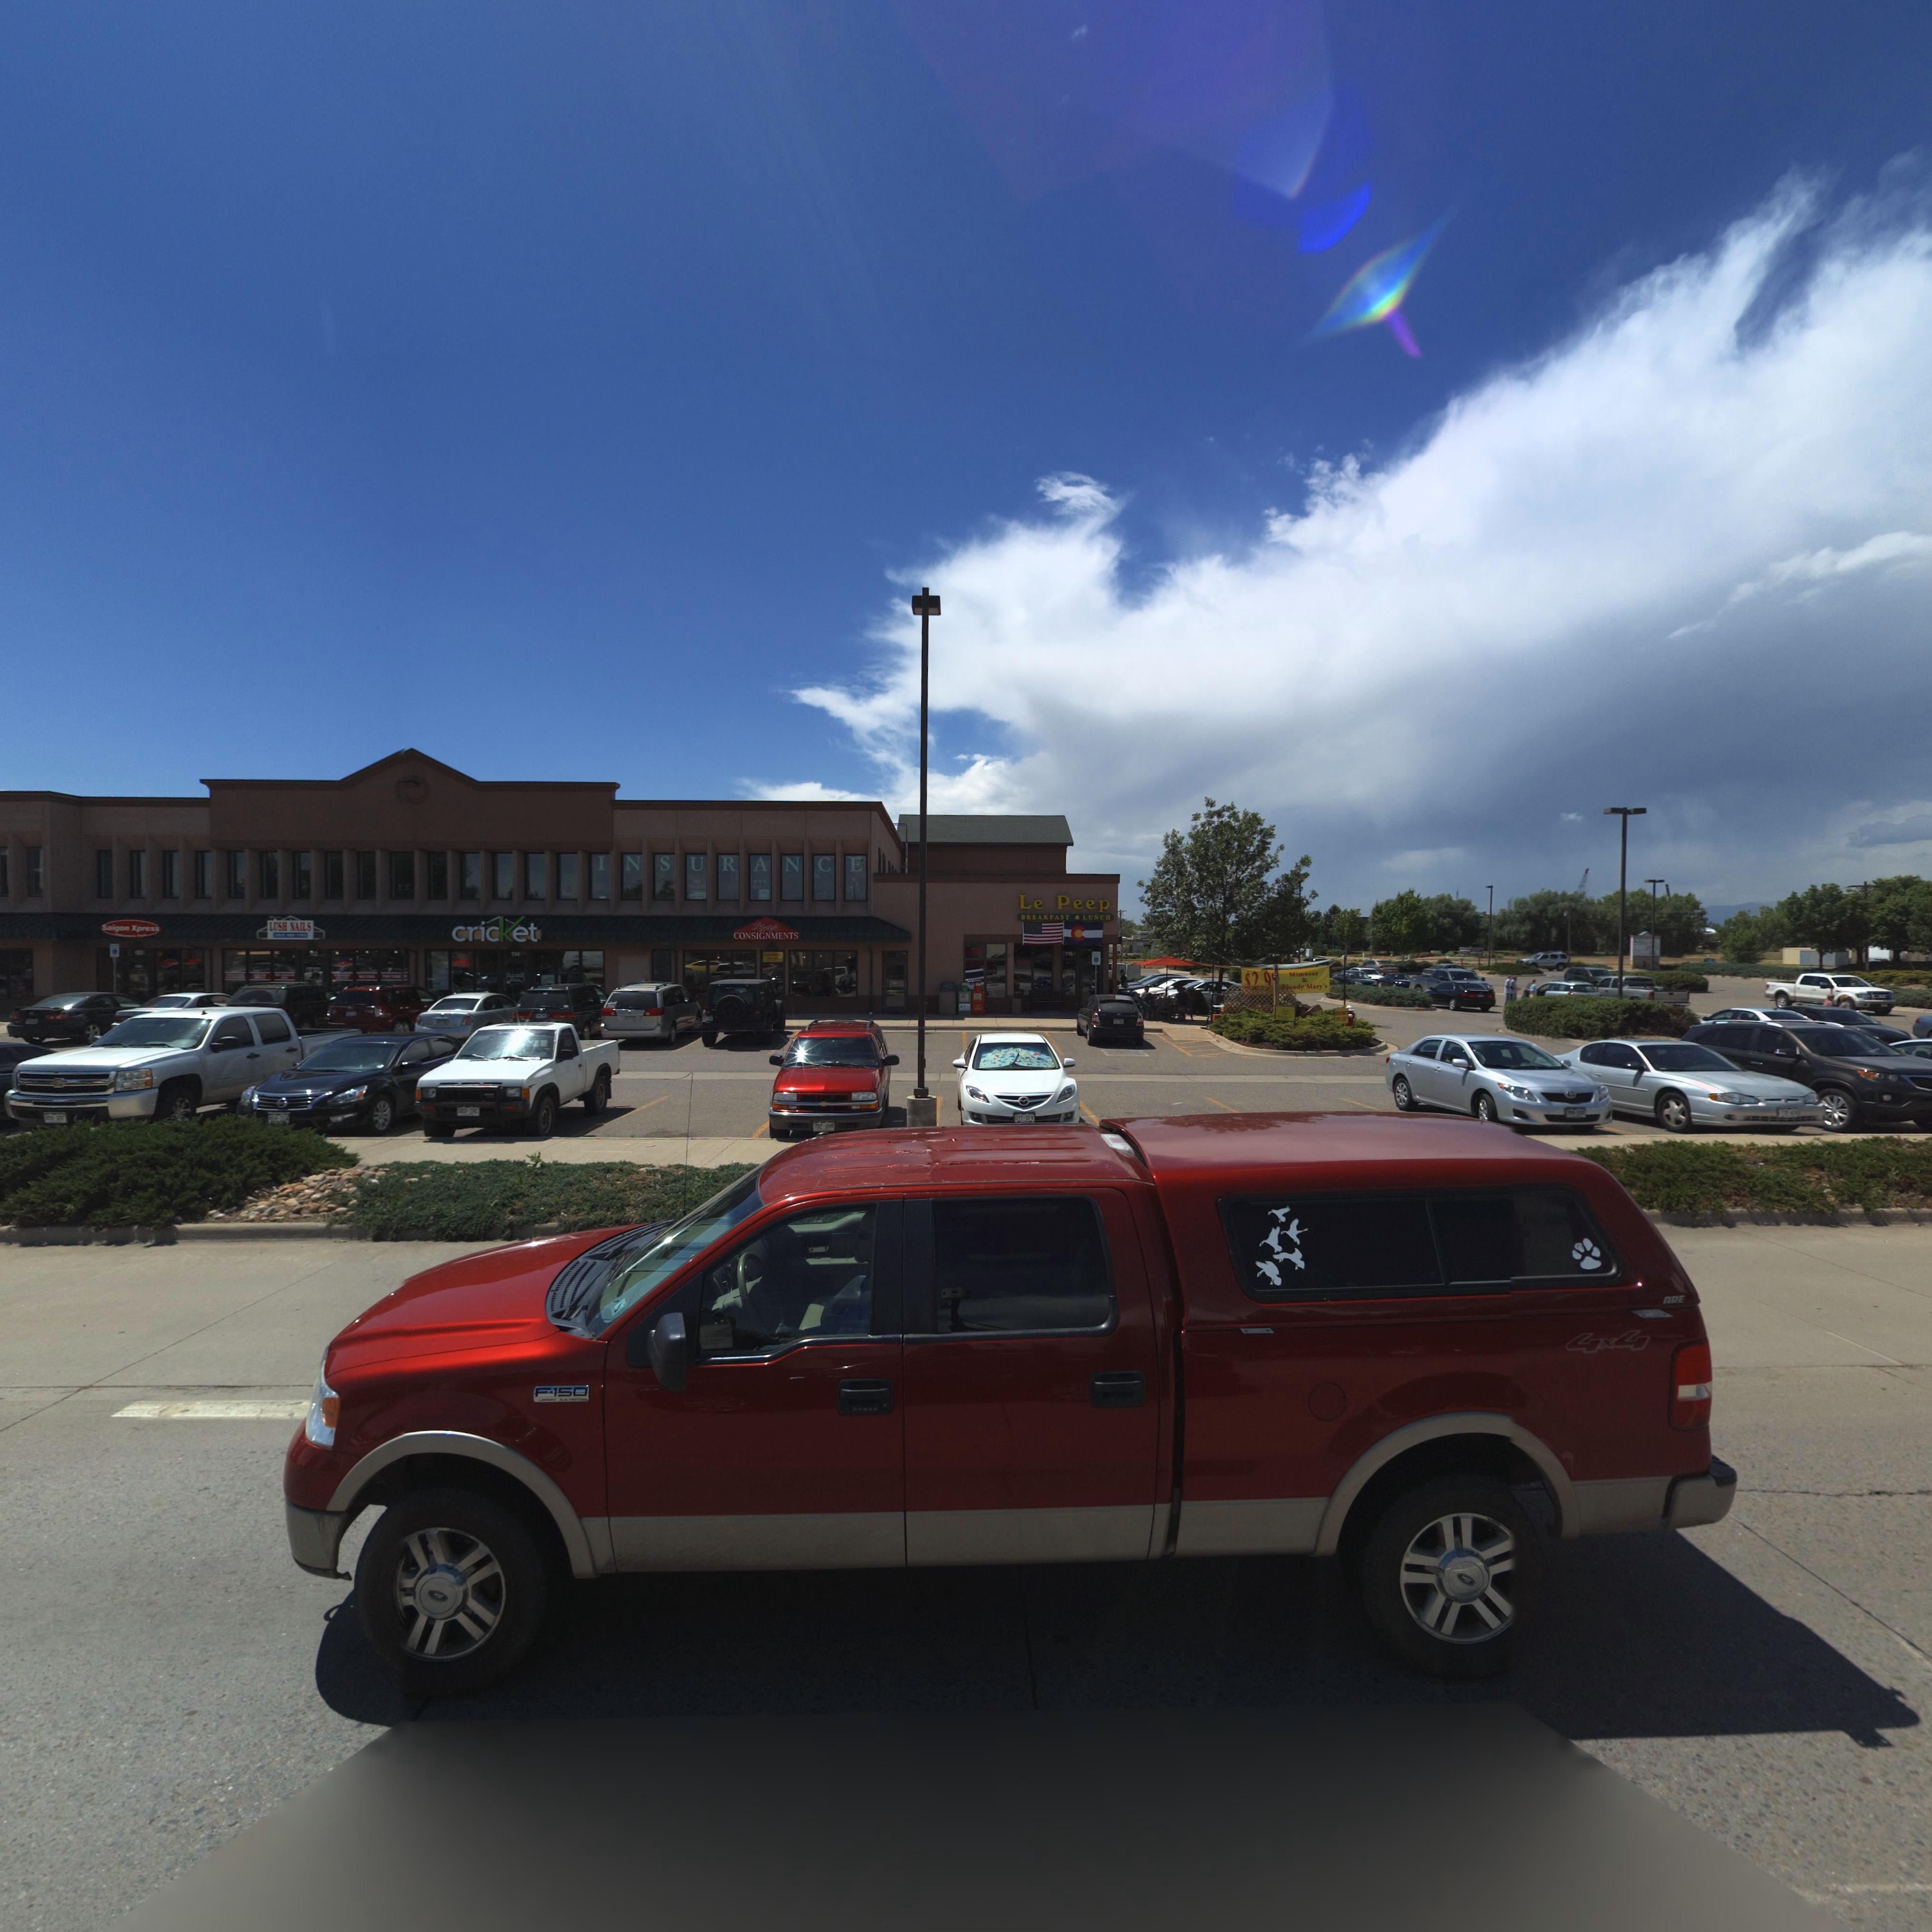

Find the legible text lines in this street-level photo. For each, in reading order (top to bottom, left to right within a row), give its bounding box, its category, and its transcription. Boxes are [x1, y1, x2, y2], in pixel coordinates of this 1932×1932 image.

[1019, 895, 1109, 912] BusinessName: Le Peep
[100, 924, 160, 933] BusinessName: Saigon Xpress
[270, 922, 311, 931] BusinessName: LUSH NAILS
[451, 916, 538, 942] BusinessName: cricKet
[753, 922, 778, 932] BusinessName: Lifestyle
[733, 932, 798, 940] BusinessName: CONSIGNMENTS
[510, 951, 520, 956] StreetNumber: 714